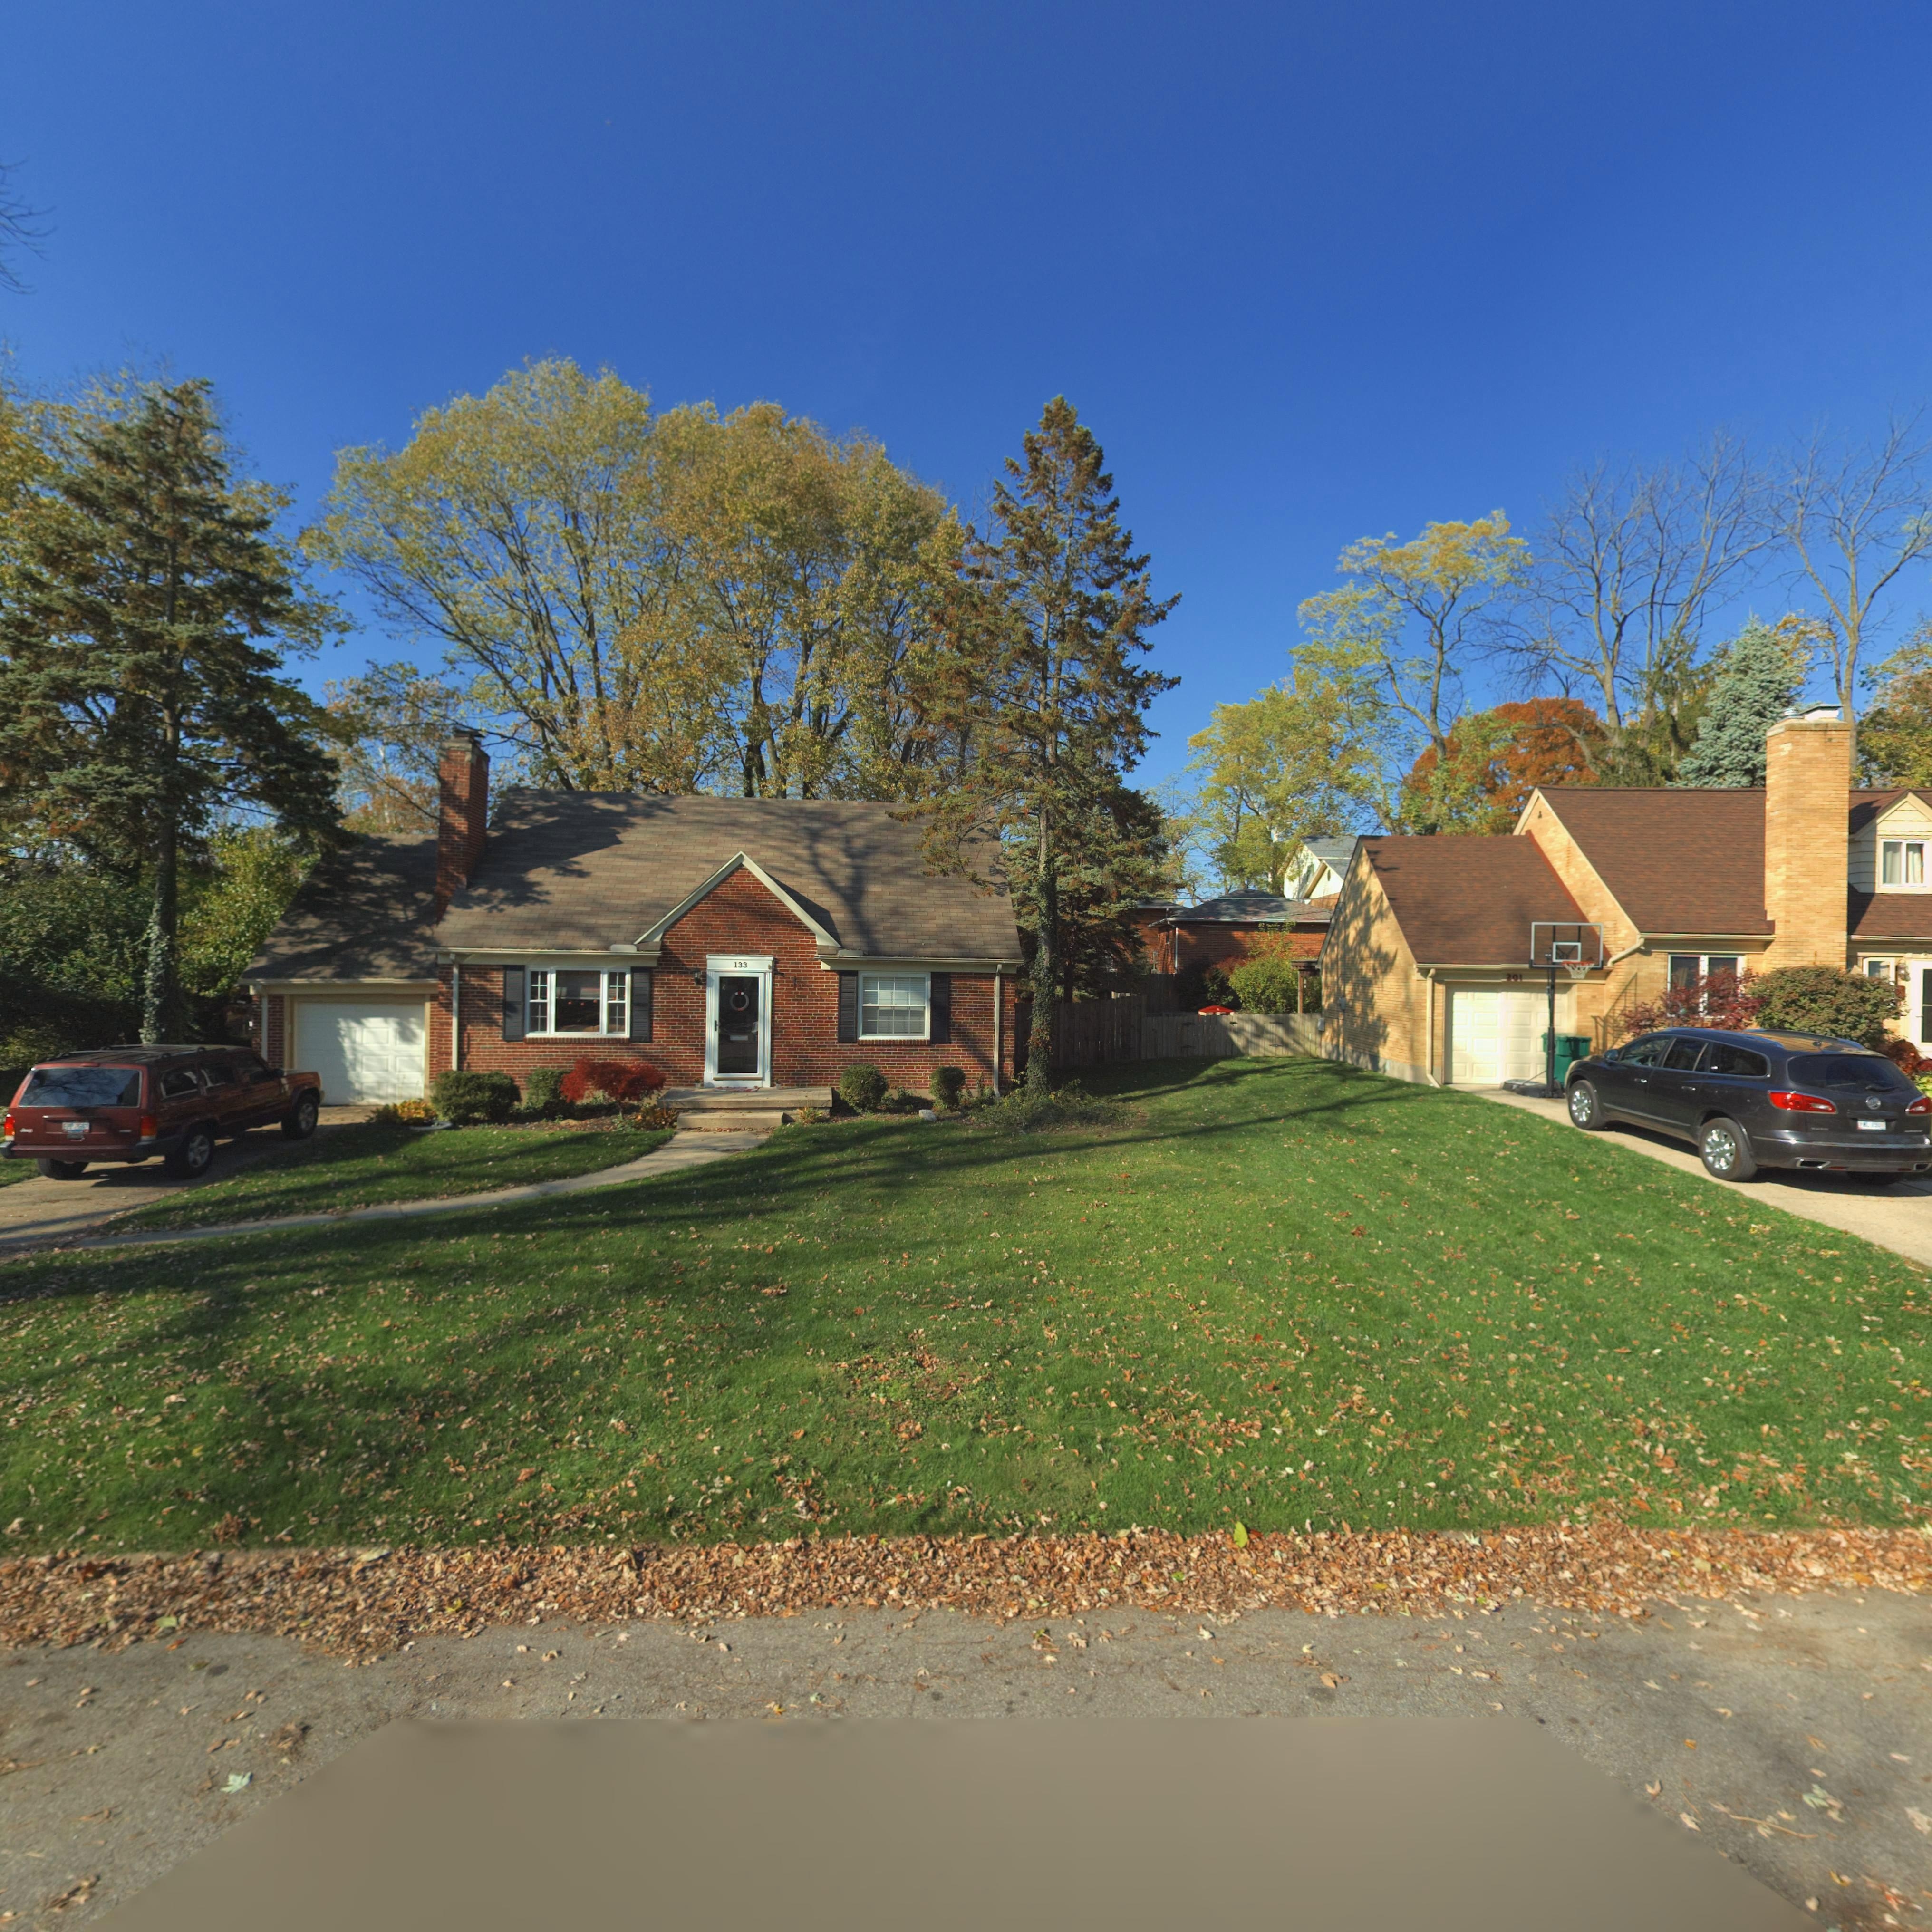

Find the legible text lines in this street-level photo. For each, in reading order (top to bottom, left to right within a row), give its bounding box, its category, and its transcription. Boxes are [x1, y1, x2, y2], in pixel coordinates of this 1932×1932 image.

[734, 960, 748, 969] StreetNumber: 133
[1506, 972, 1523, 983] StreetNumber: 201